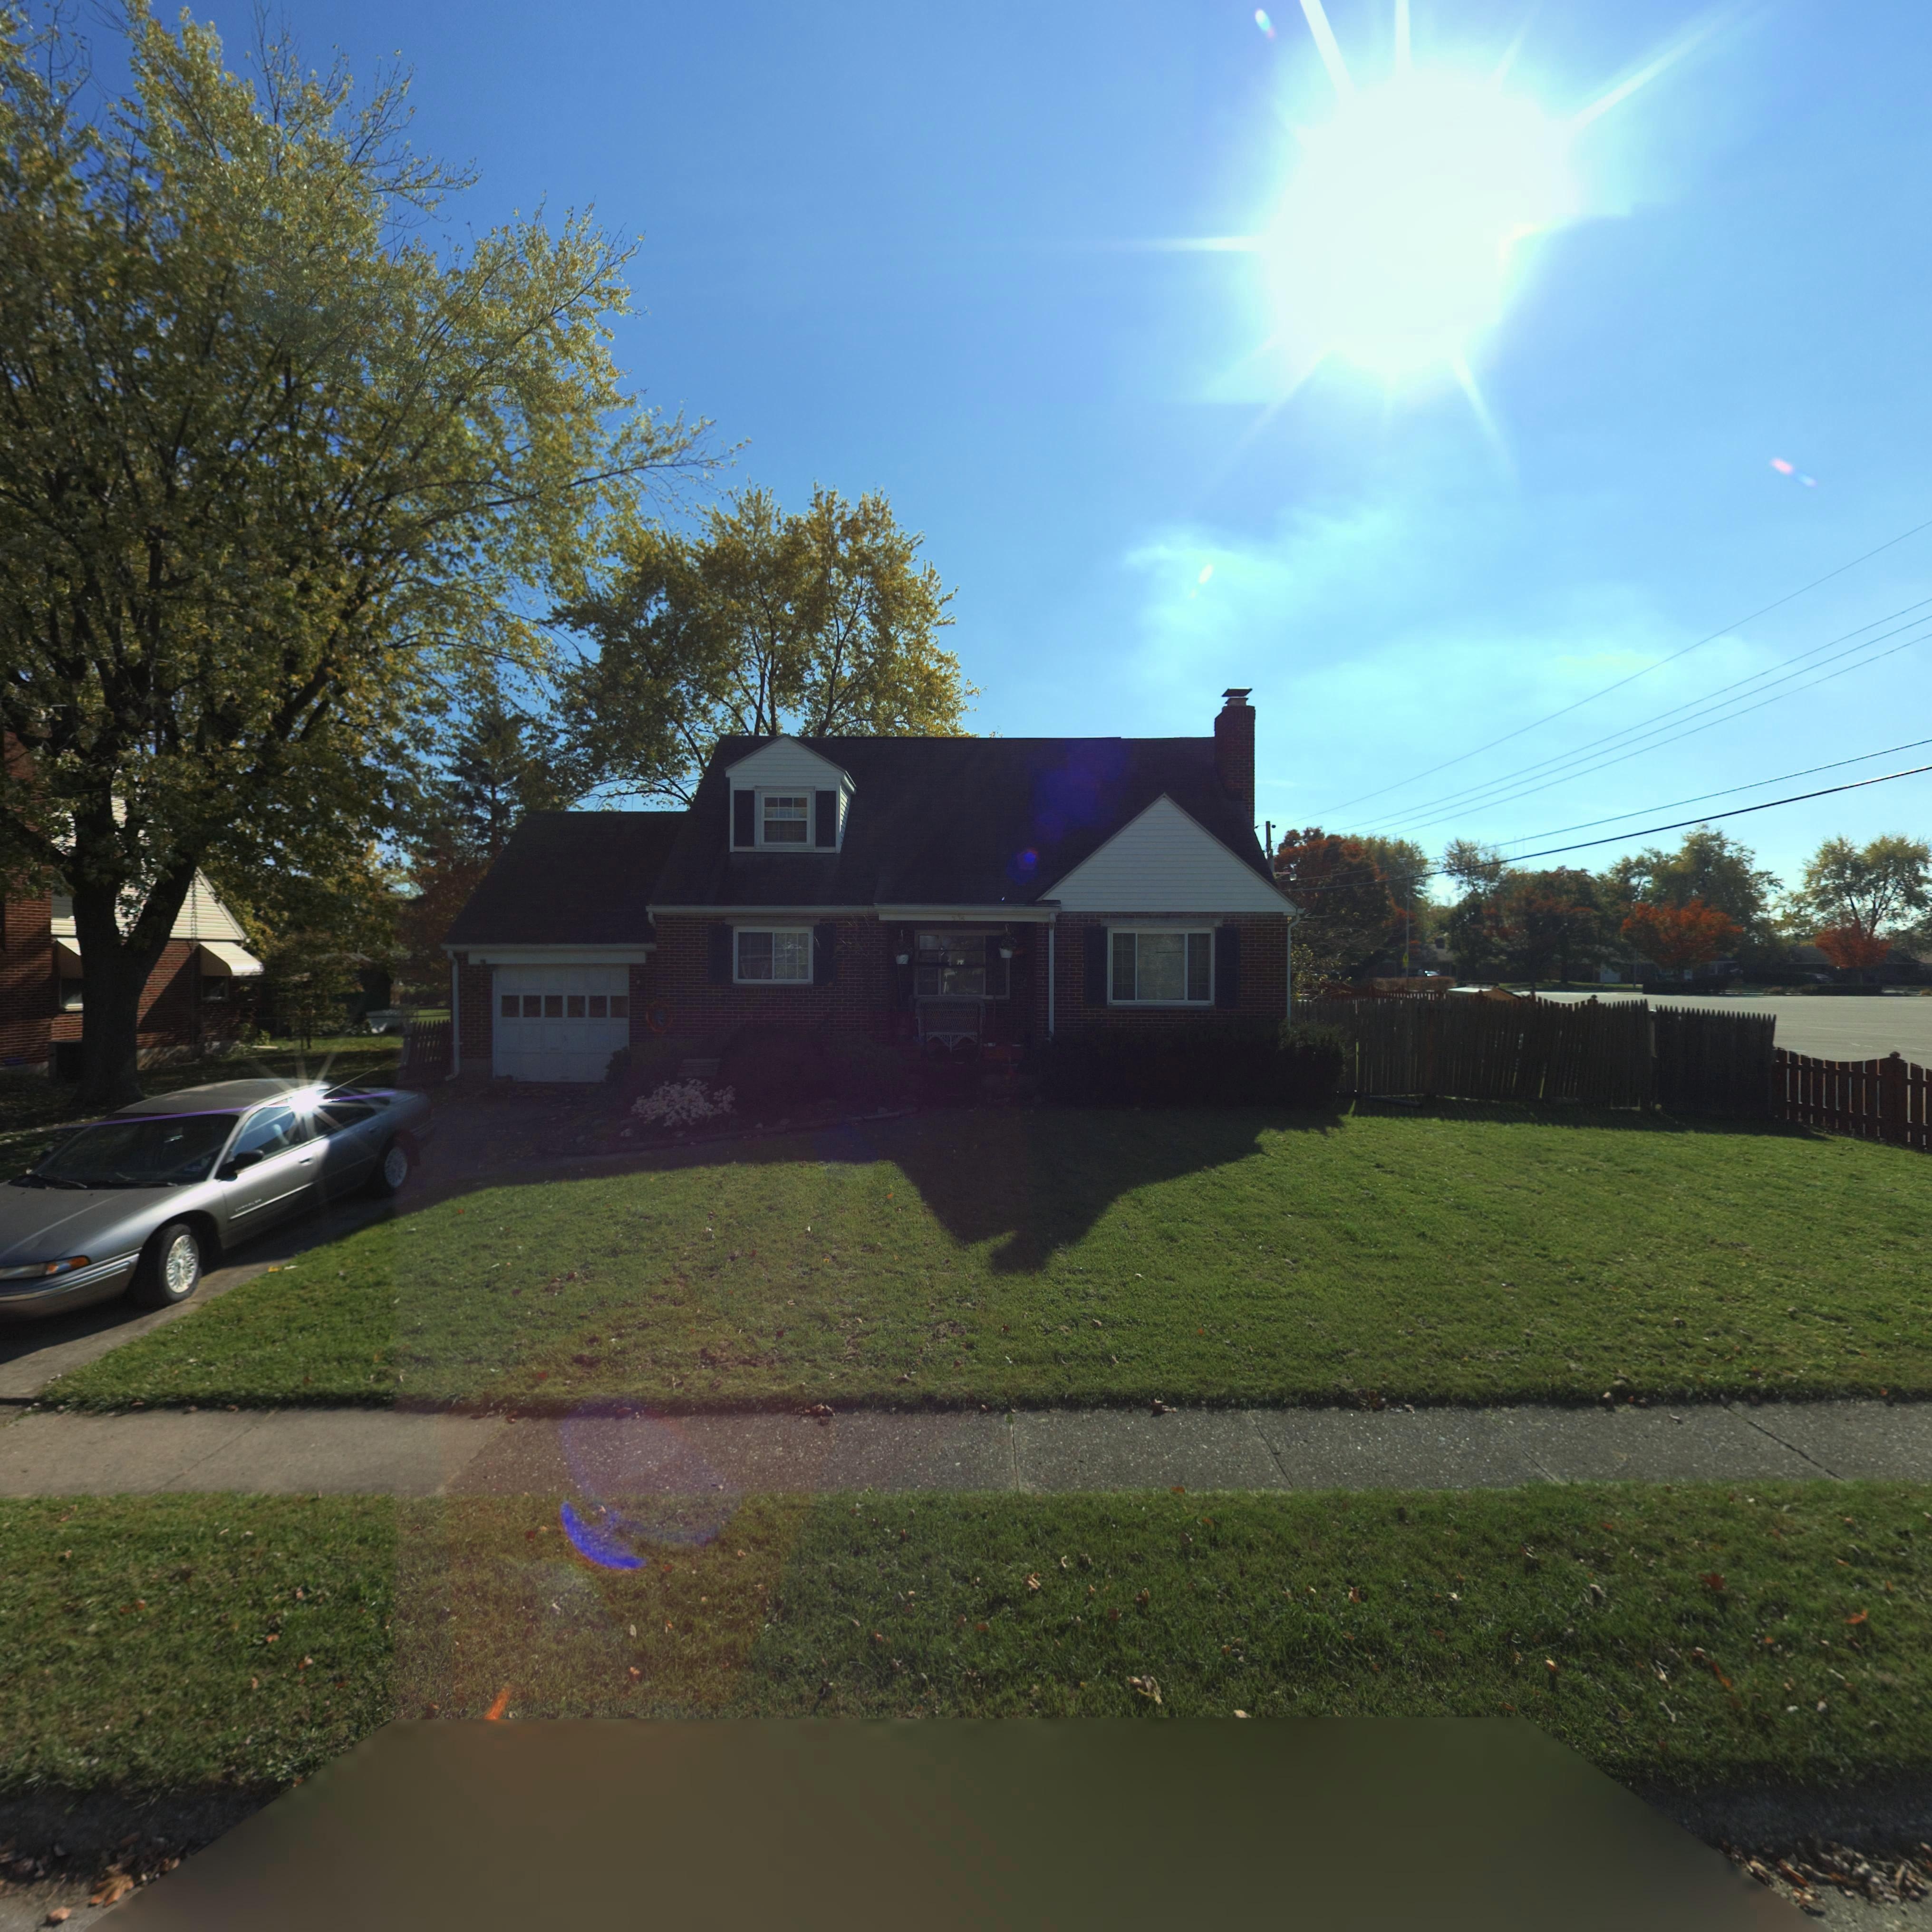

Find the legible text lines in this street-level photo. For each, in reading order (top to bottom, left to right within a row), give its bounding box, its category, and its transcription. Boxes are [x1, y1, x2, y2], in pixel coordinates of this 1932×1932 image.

[952, 914, 966, 921] StreetNumber: 934